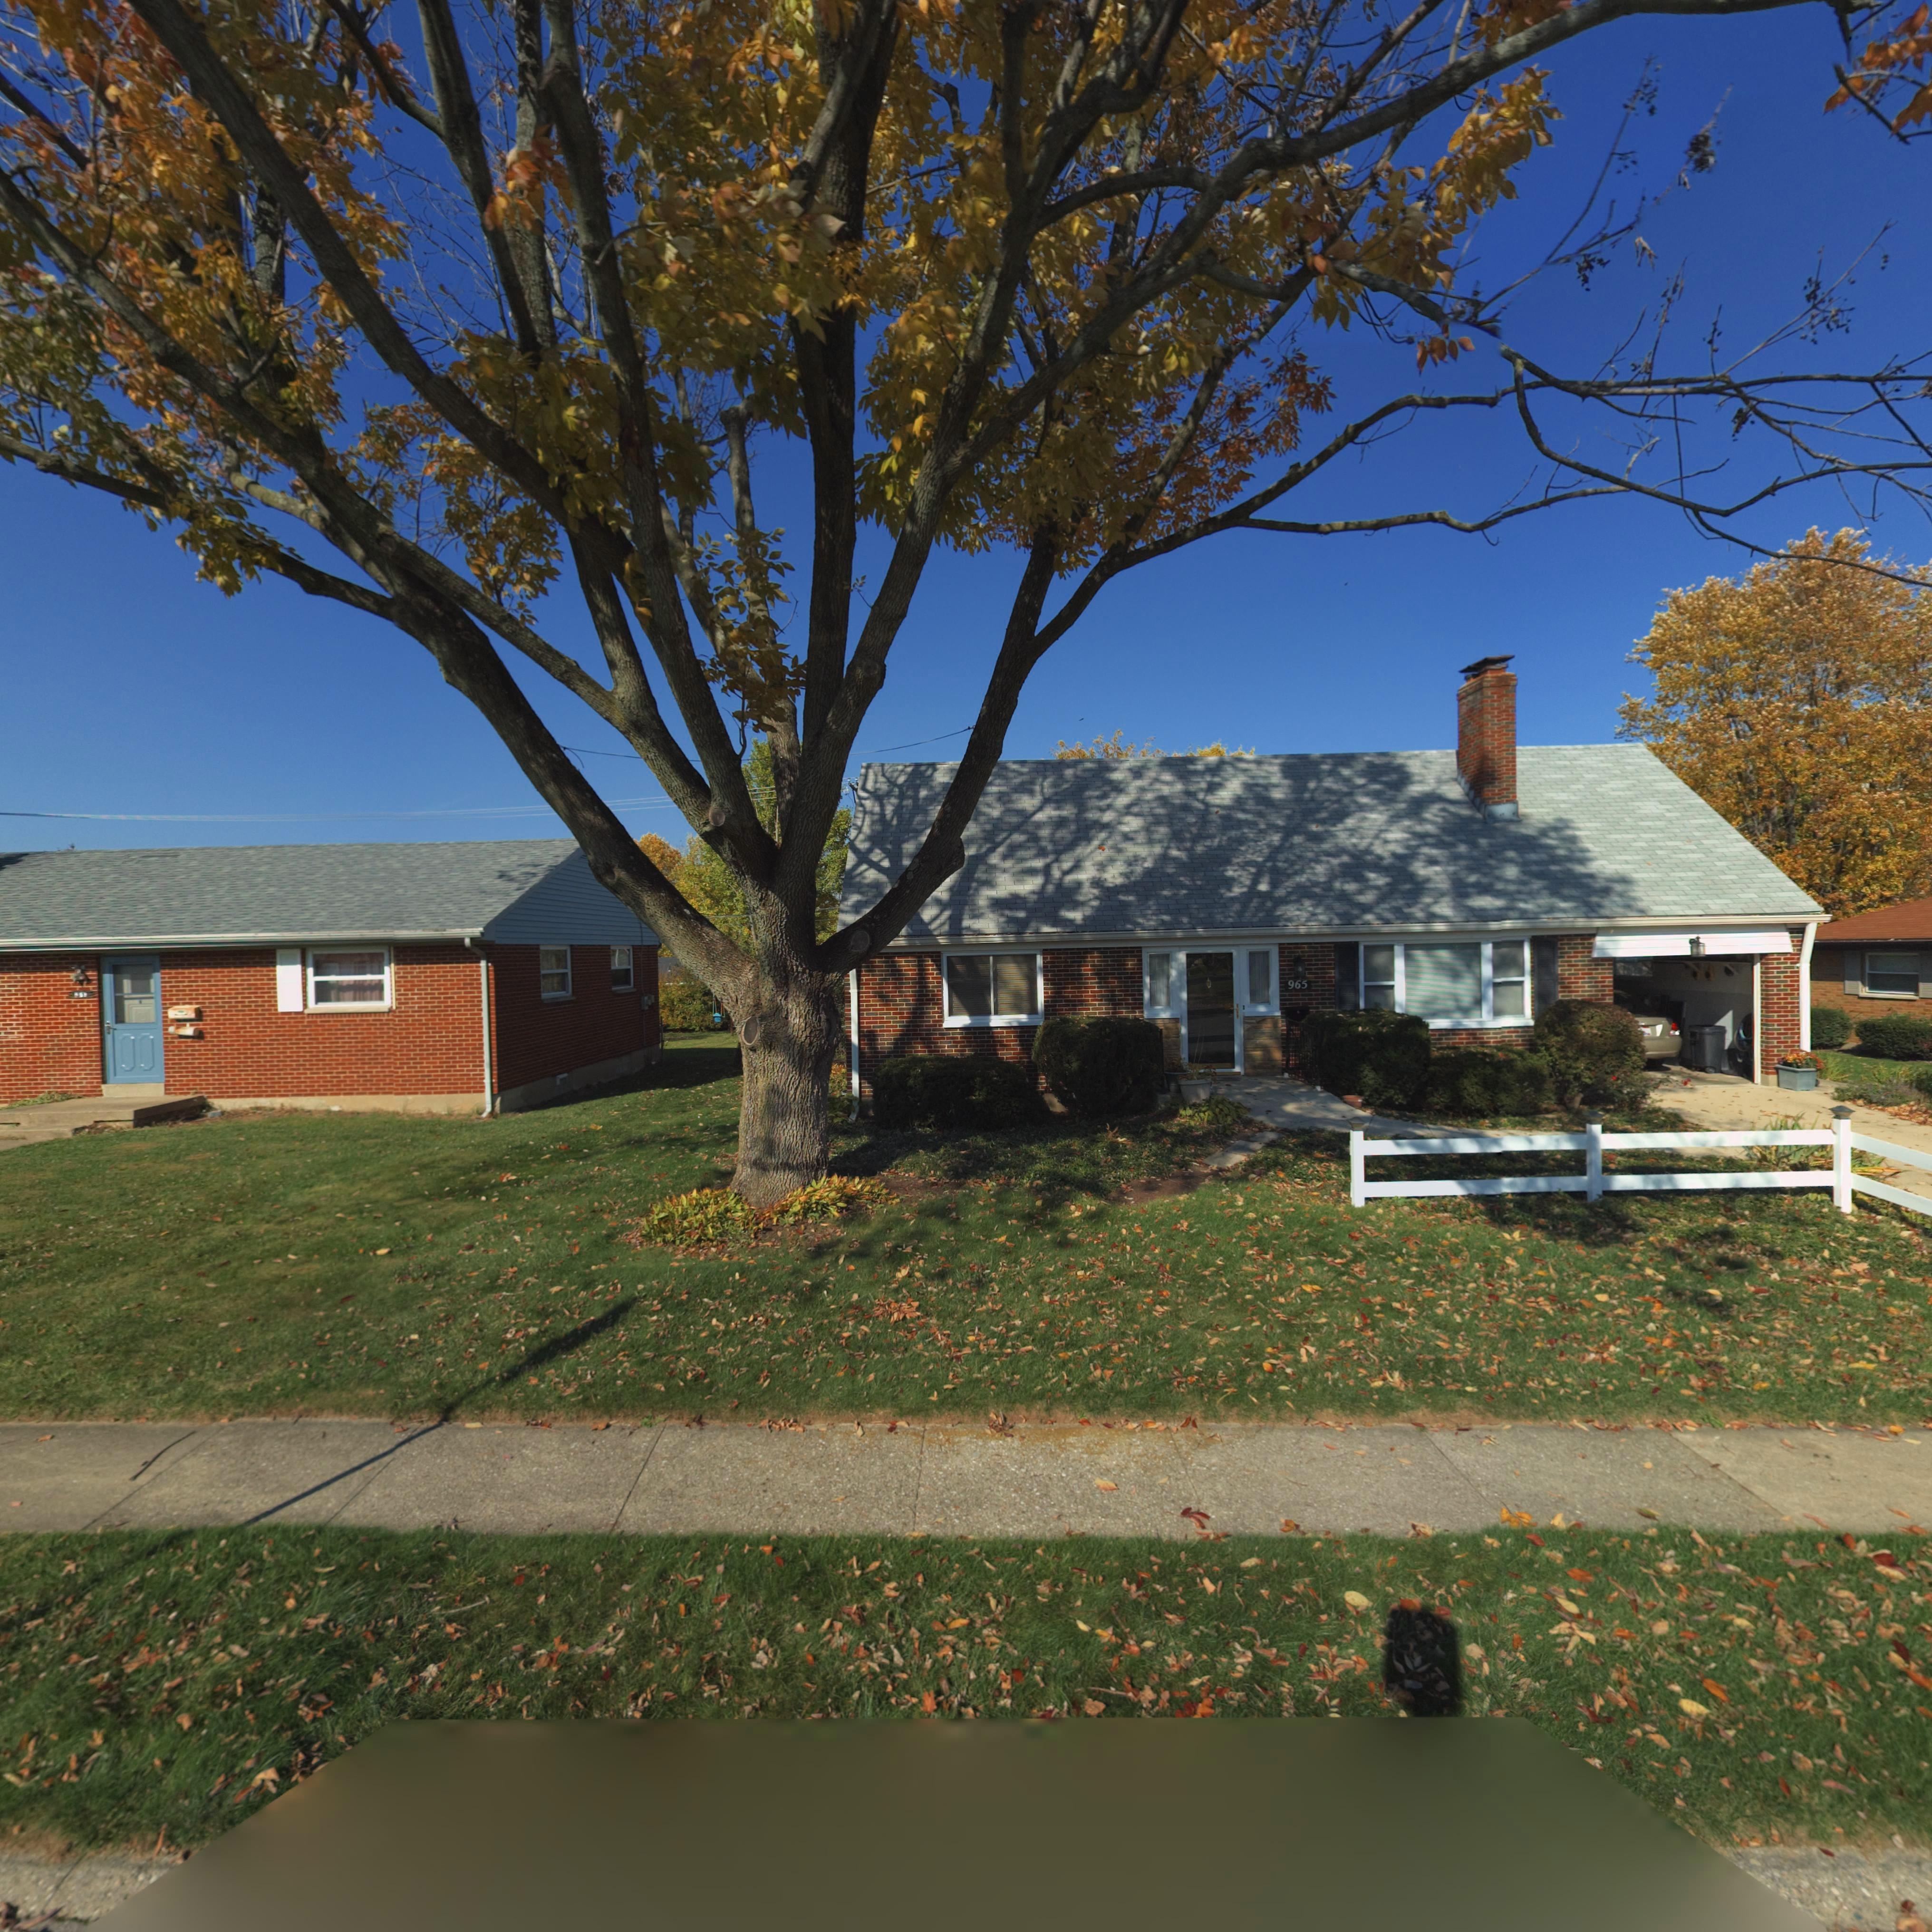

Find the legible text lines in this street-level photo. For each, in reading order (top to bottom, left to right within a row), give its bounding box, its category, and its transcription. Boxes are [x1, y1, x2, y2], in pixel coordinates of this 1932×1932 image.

[1287, 980, 1308, 990] StreetNumber: 965